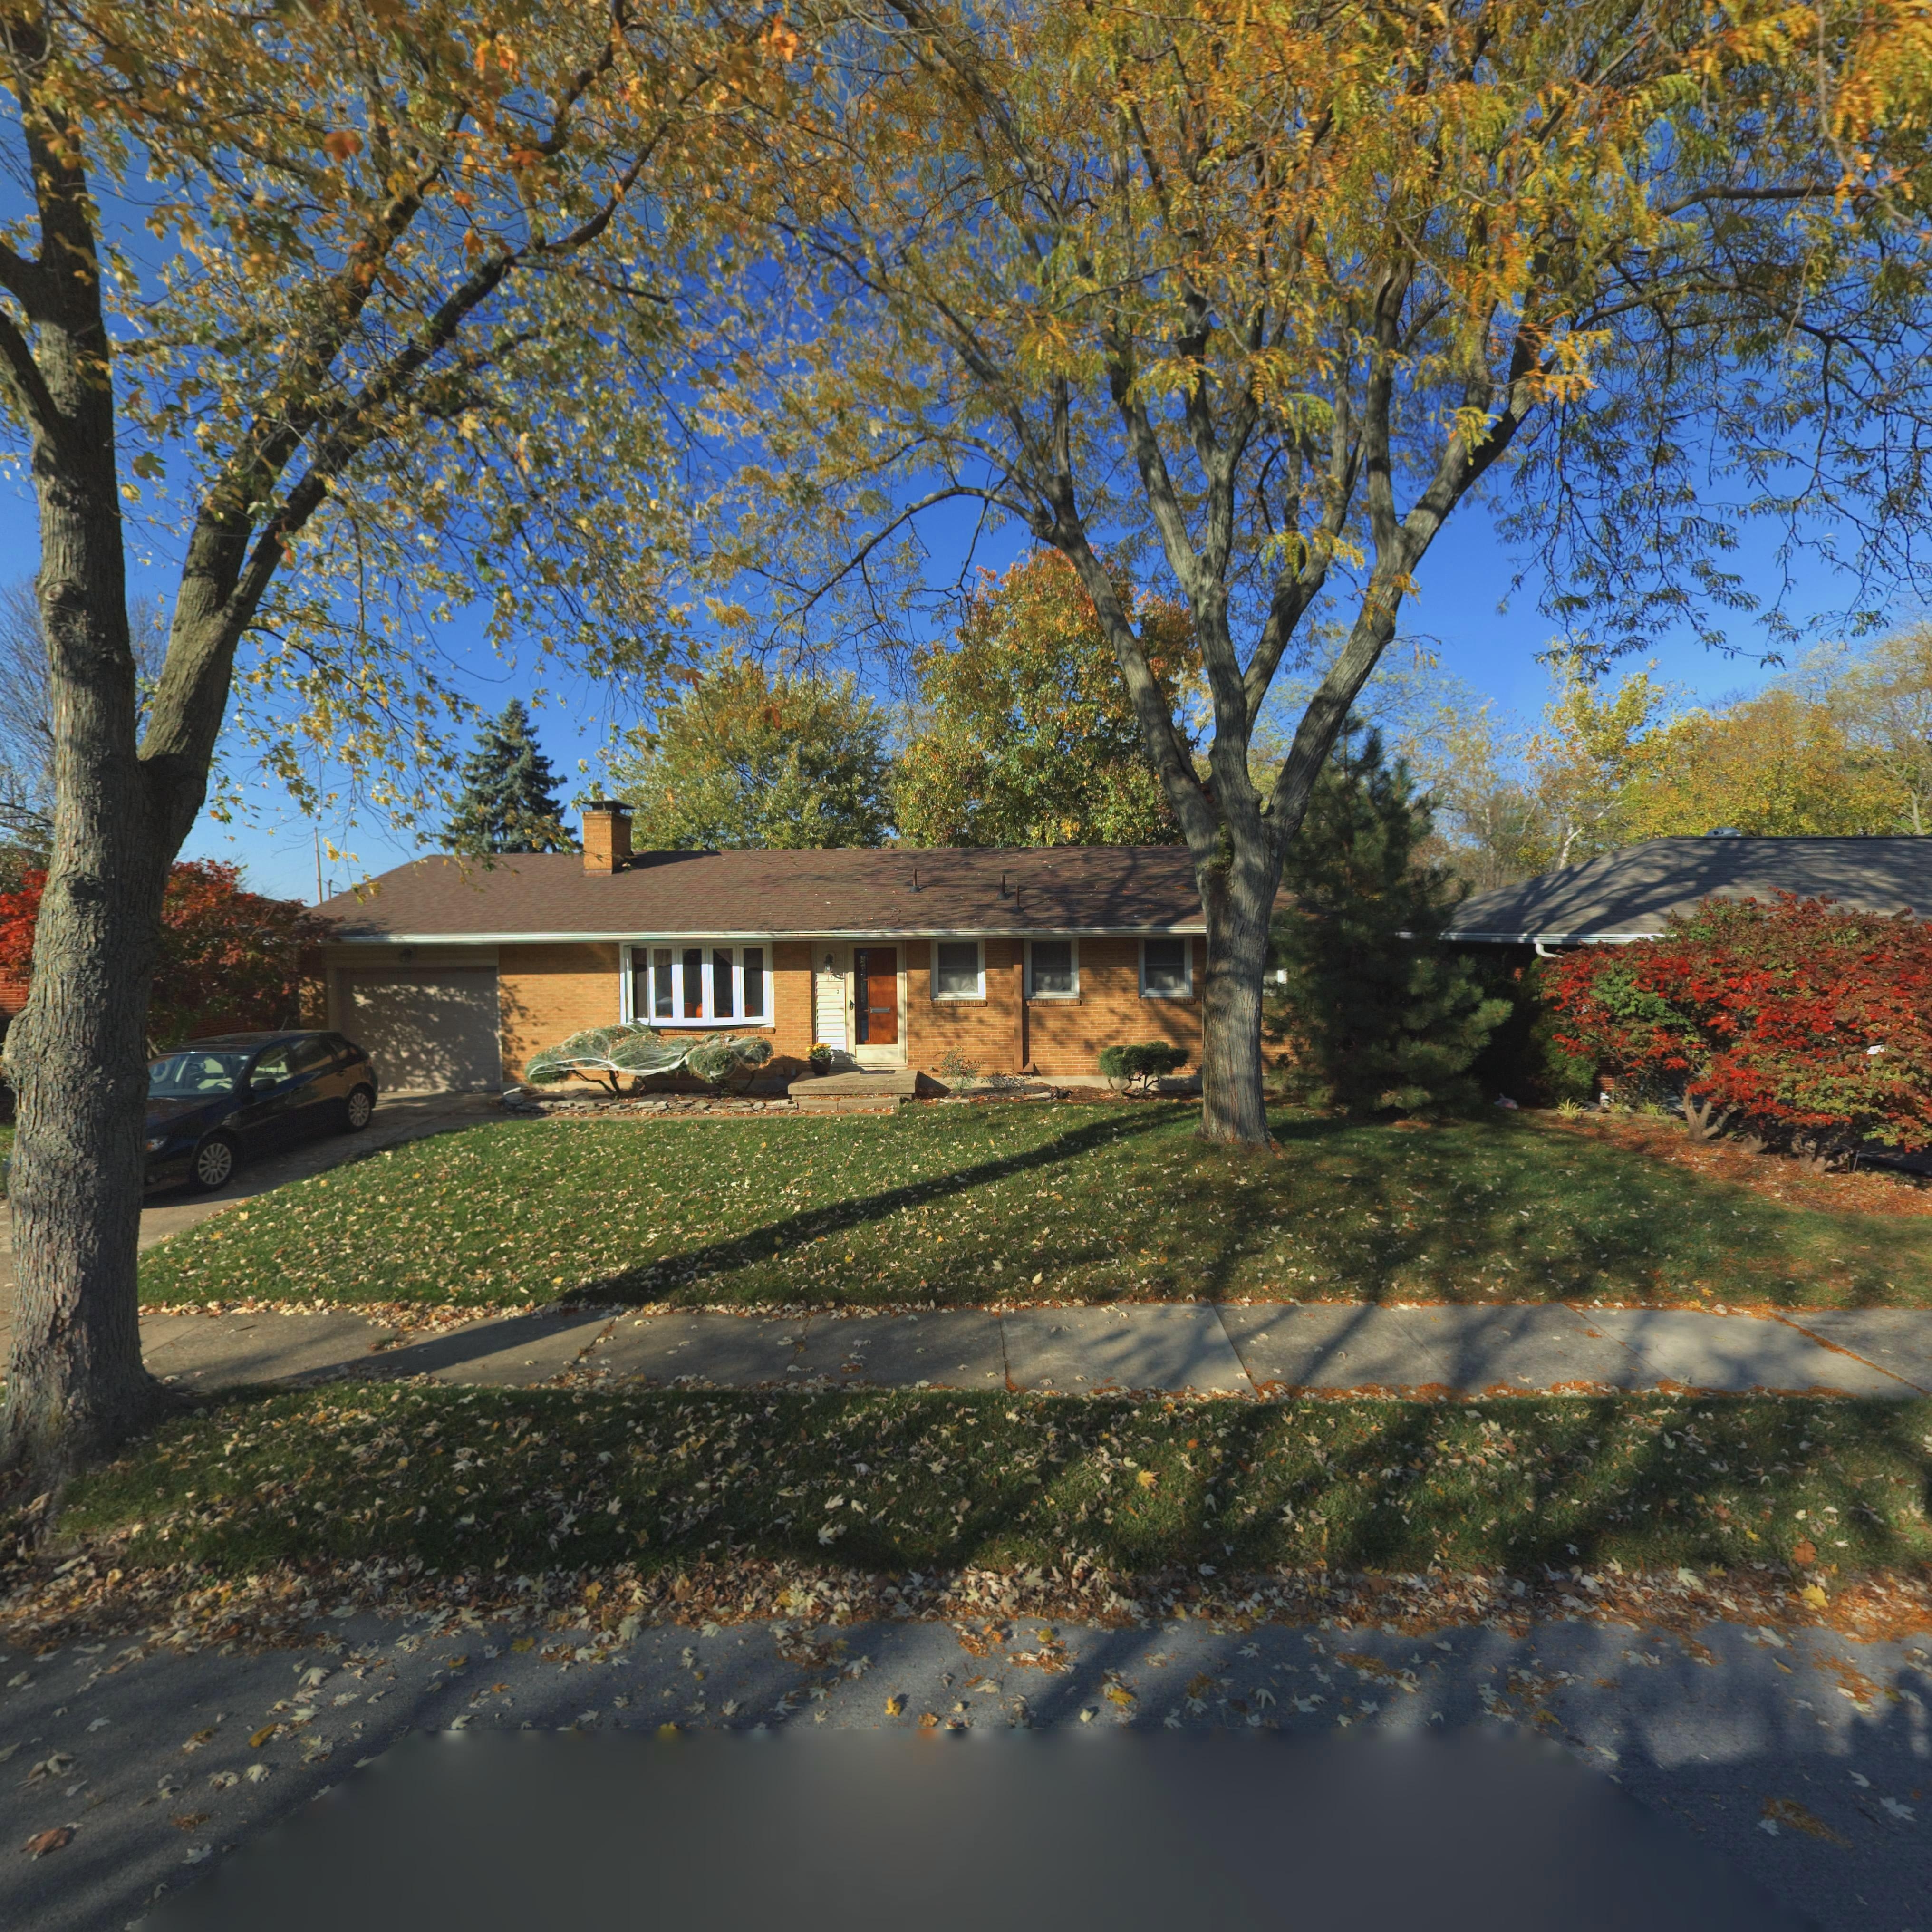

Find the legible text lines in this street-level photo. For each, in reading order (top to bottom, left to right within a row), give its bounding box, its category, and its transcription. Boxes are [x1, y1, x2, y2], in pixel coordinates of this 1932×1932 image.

[826, 974, 835, 981] StreetNumber: 1*